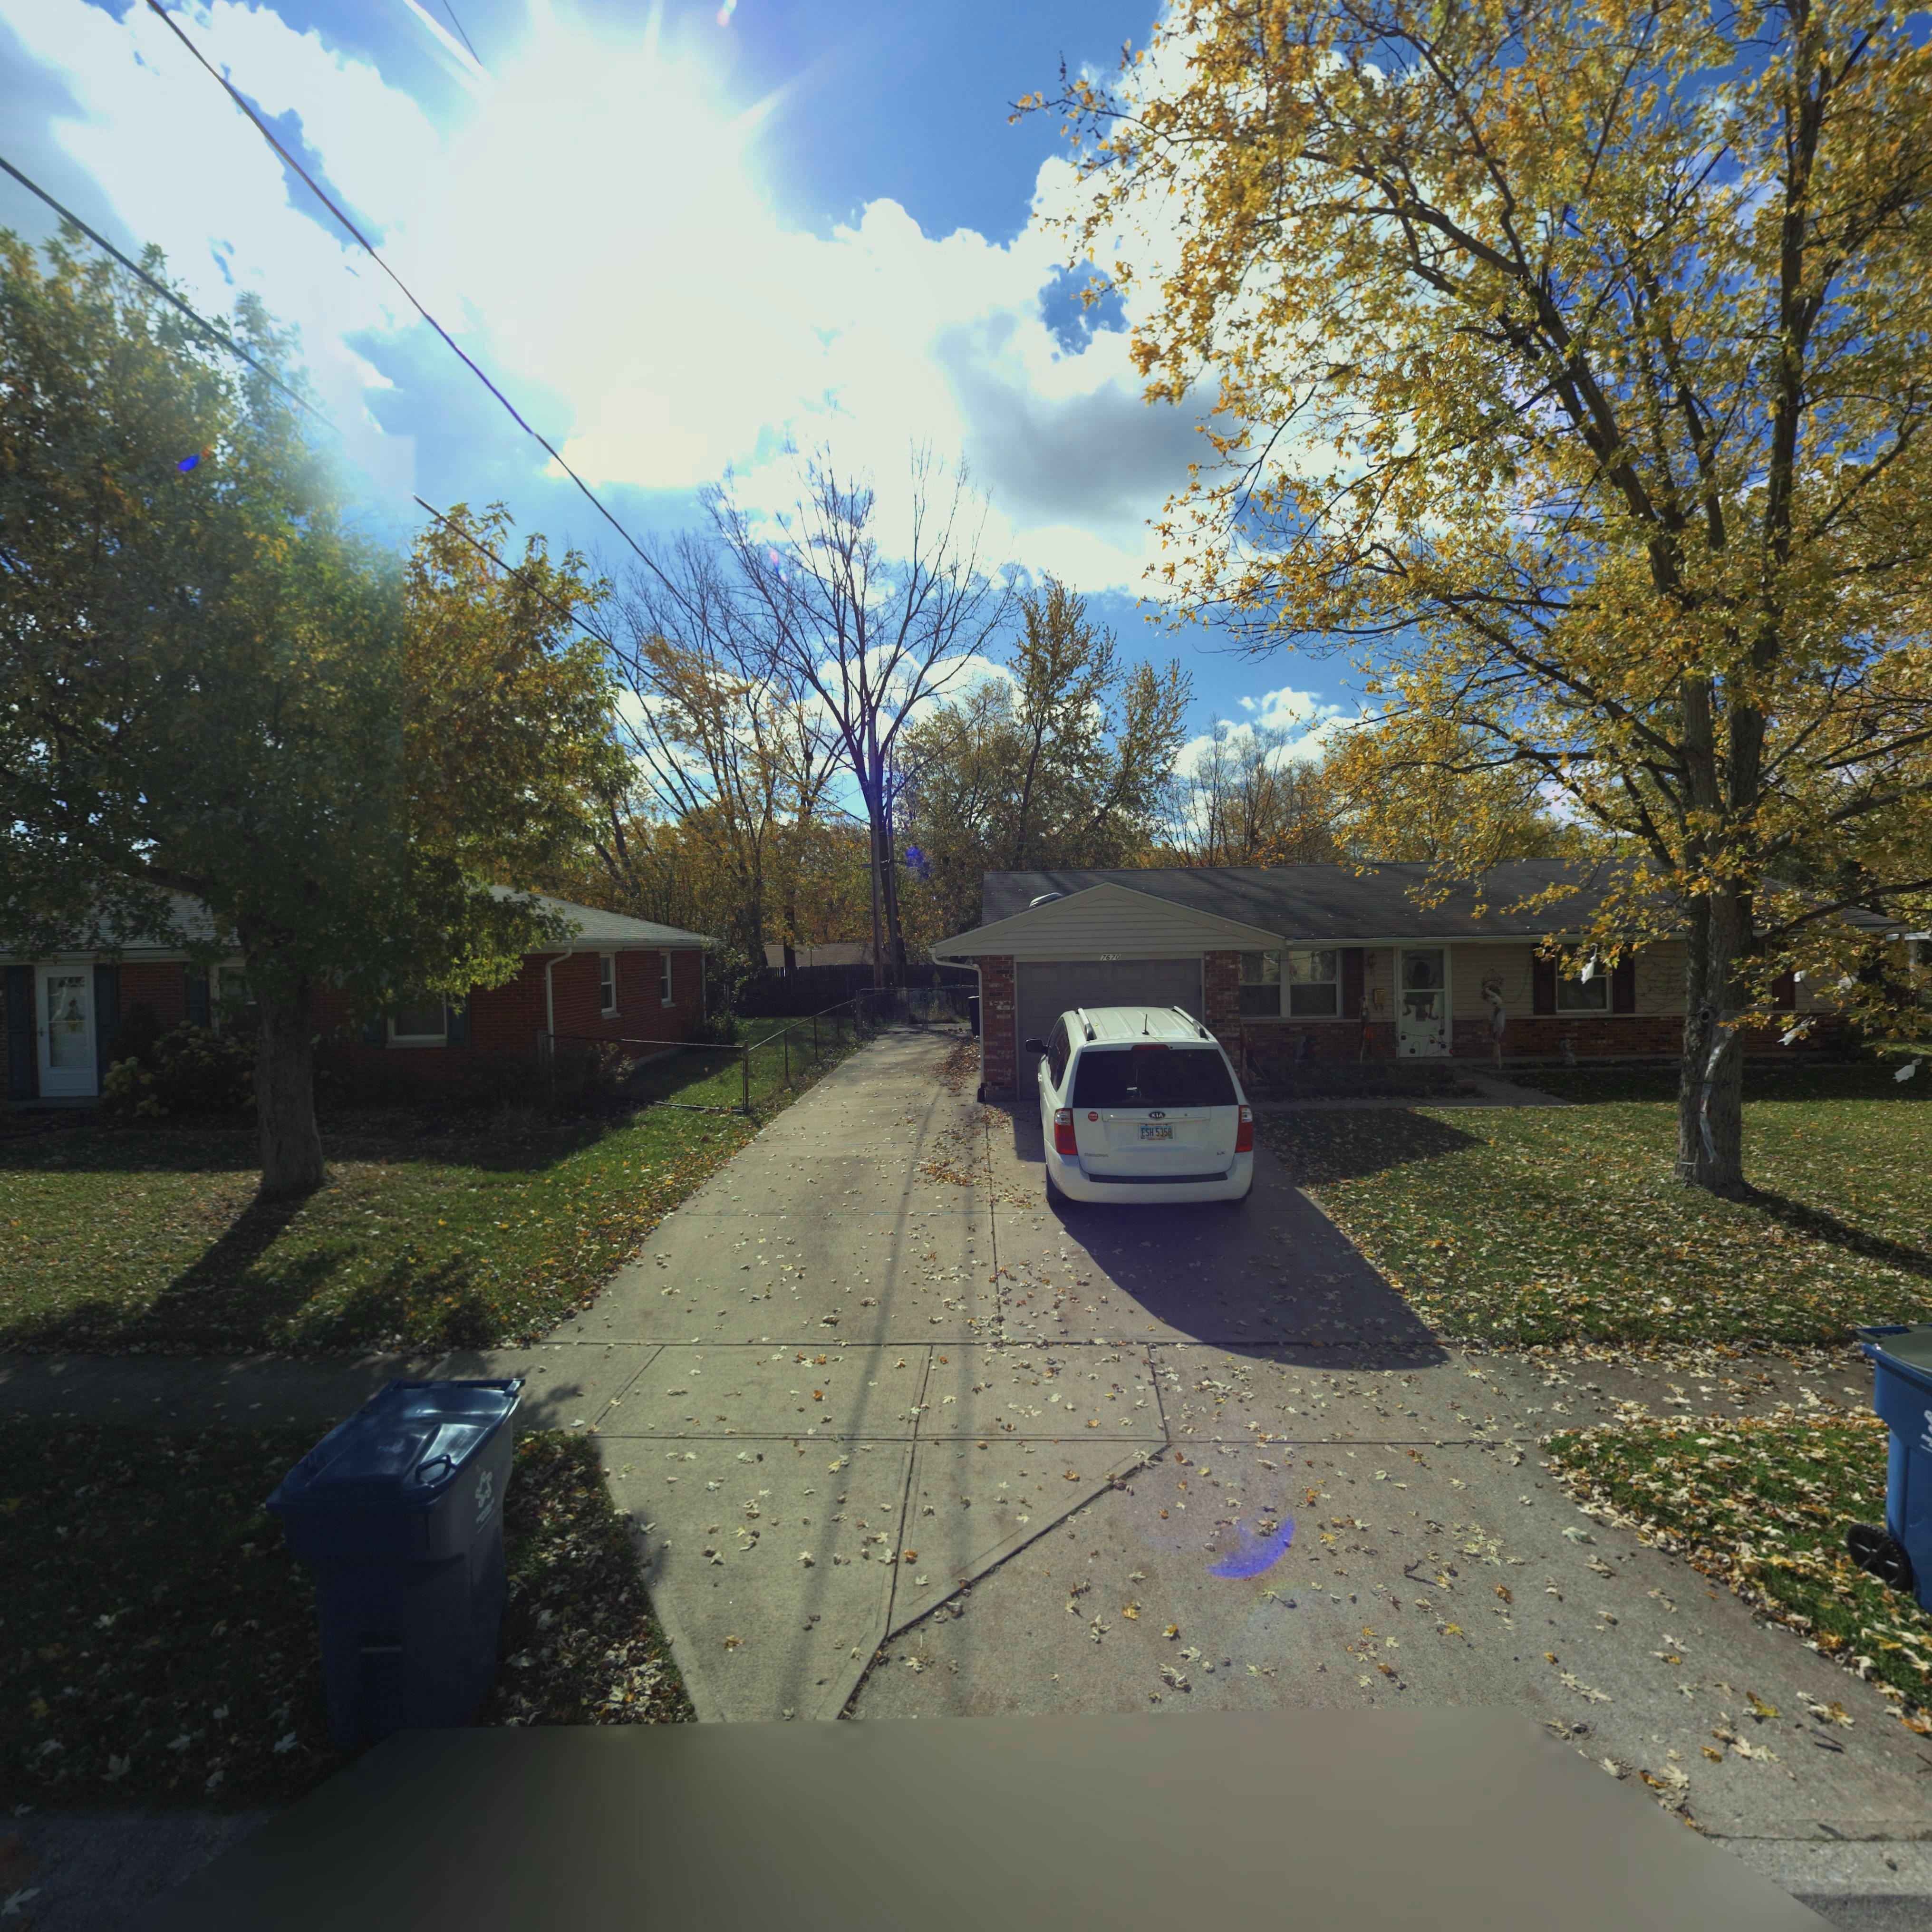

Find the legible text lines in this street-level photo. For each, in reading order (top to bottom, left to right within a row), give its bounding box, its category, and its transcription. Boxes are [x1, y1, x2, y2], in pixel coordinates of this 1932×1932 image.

[1101, 954, 1121, 961] StreetNumber: 7670